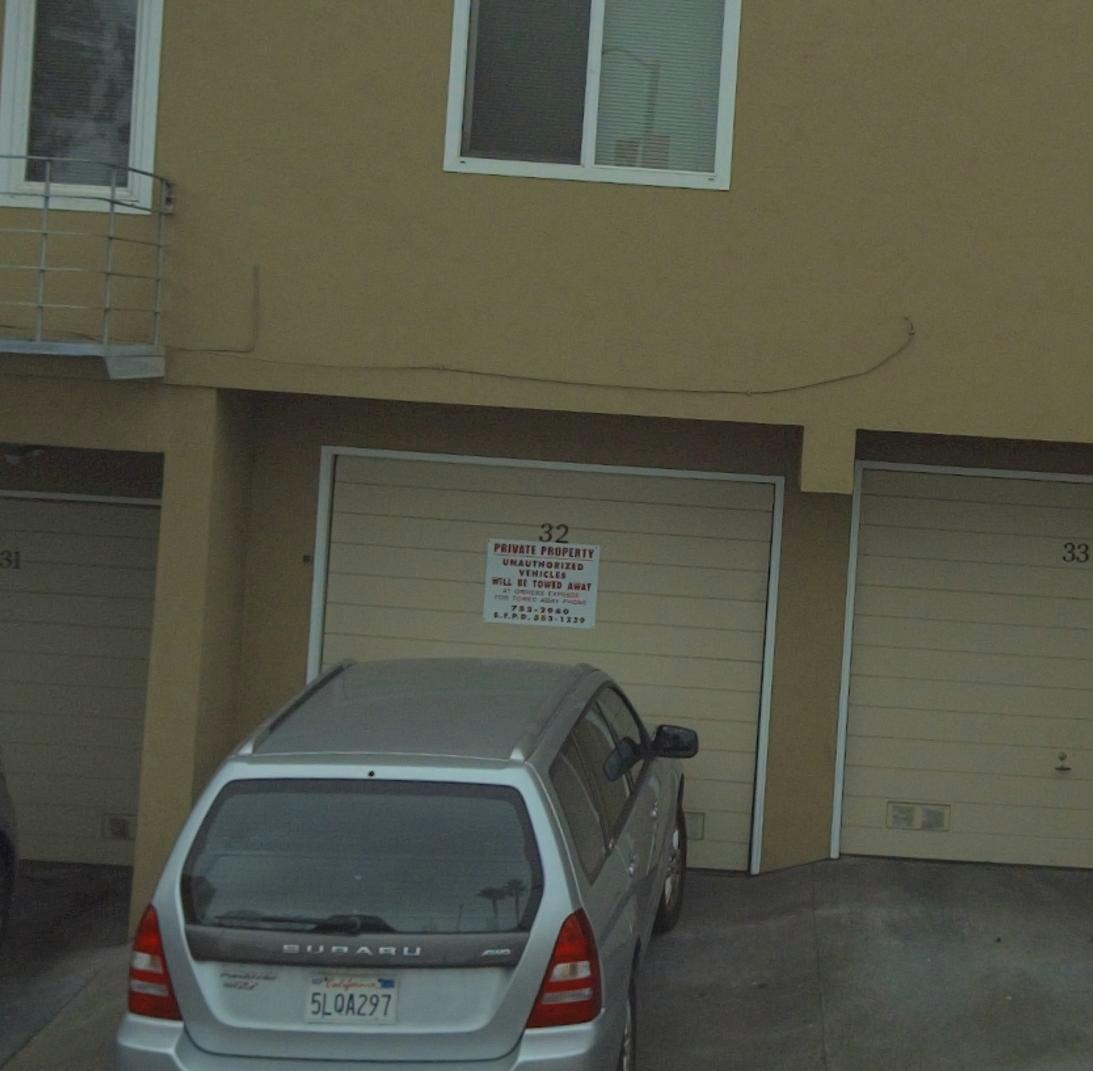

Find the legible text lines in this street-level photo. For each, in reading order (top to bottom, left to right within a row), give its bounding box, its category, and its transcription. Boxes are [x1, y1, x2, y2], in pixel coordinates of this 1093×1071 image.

[537, 521, 570, 545] StreetNumber: 32
[0, 548, 22, 571] StreetNumber: 31
[500, 556, 586, 572] None: UNAUTHORIZED
[492, 541, 596, 560] None: PRIVATE PROPERTY
[1060, 540, 1091, 565] StreetNumber: 33
[517, 568, 567, 580] None: VEHICLES
[490, 576, 594, 593] None: WILL BE TOWED AWAY
[493, 609, 532, 622] None: S.F.P.D
[510, 603, 571, 616] None: 753-*960
[532, 613, 586, 625] None: 5*3-1239
[280, 943, 423, 957] None: SUBARU
[480, 948, 512, 957] None: AWD
[324, 976, 379, 991] None: California
[309, 989, 394, 1019] None: 5LOA297